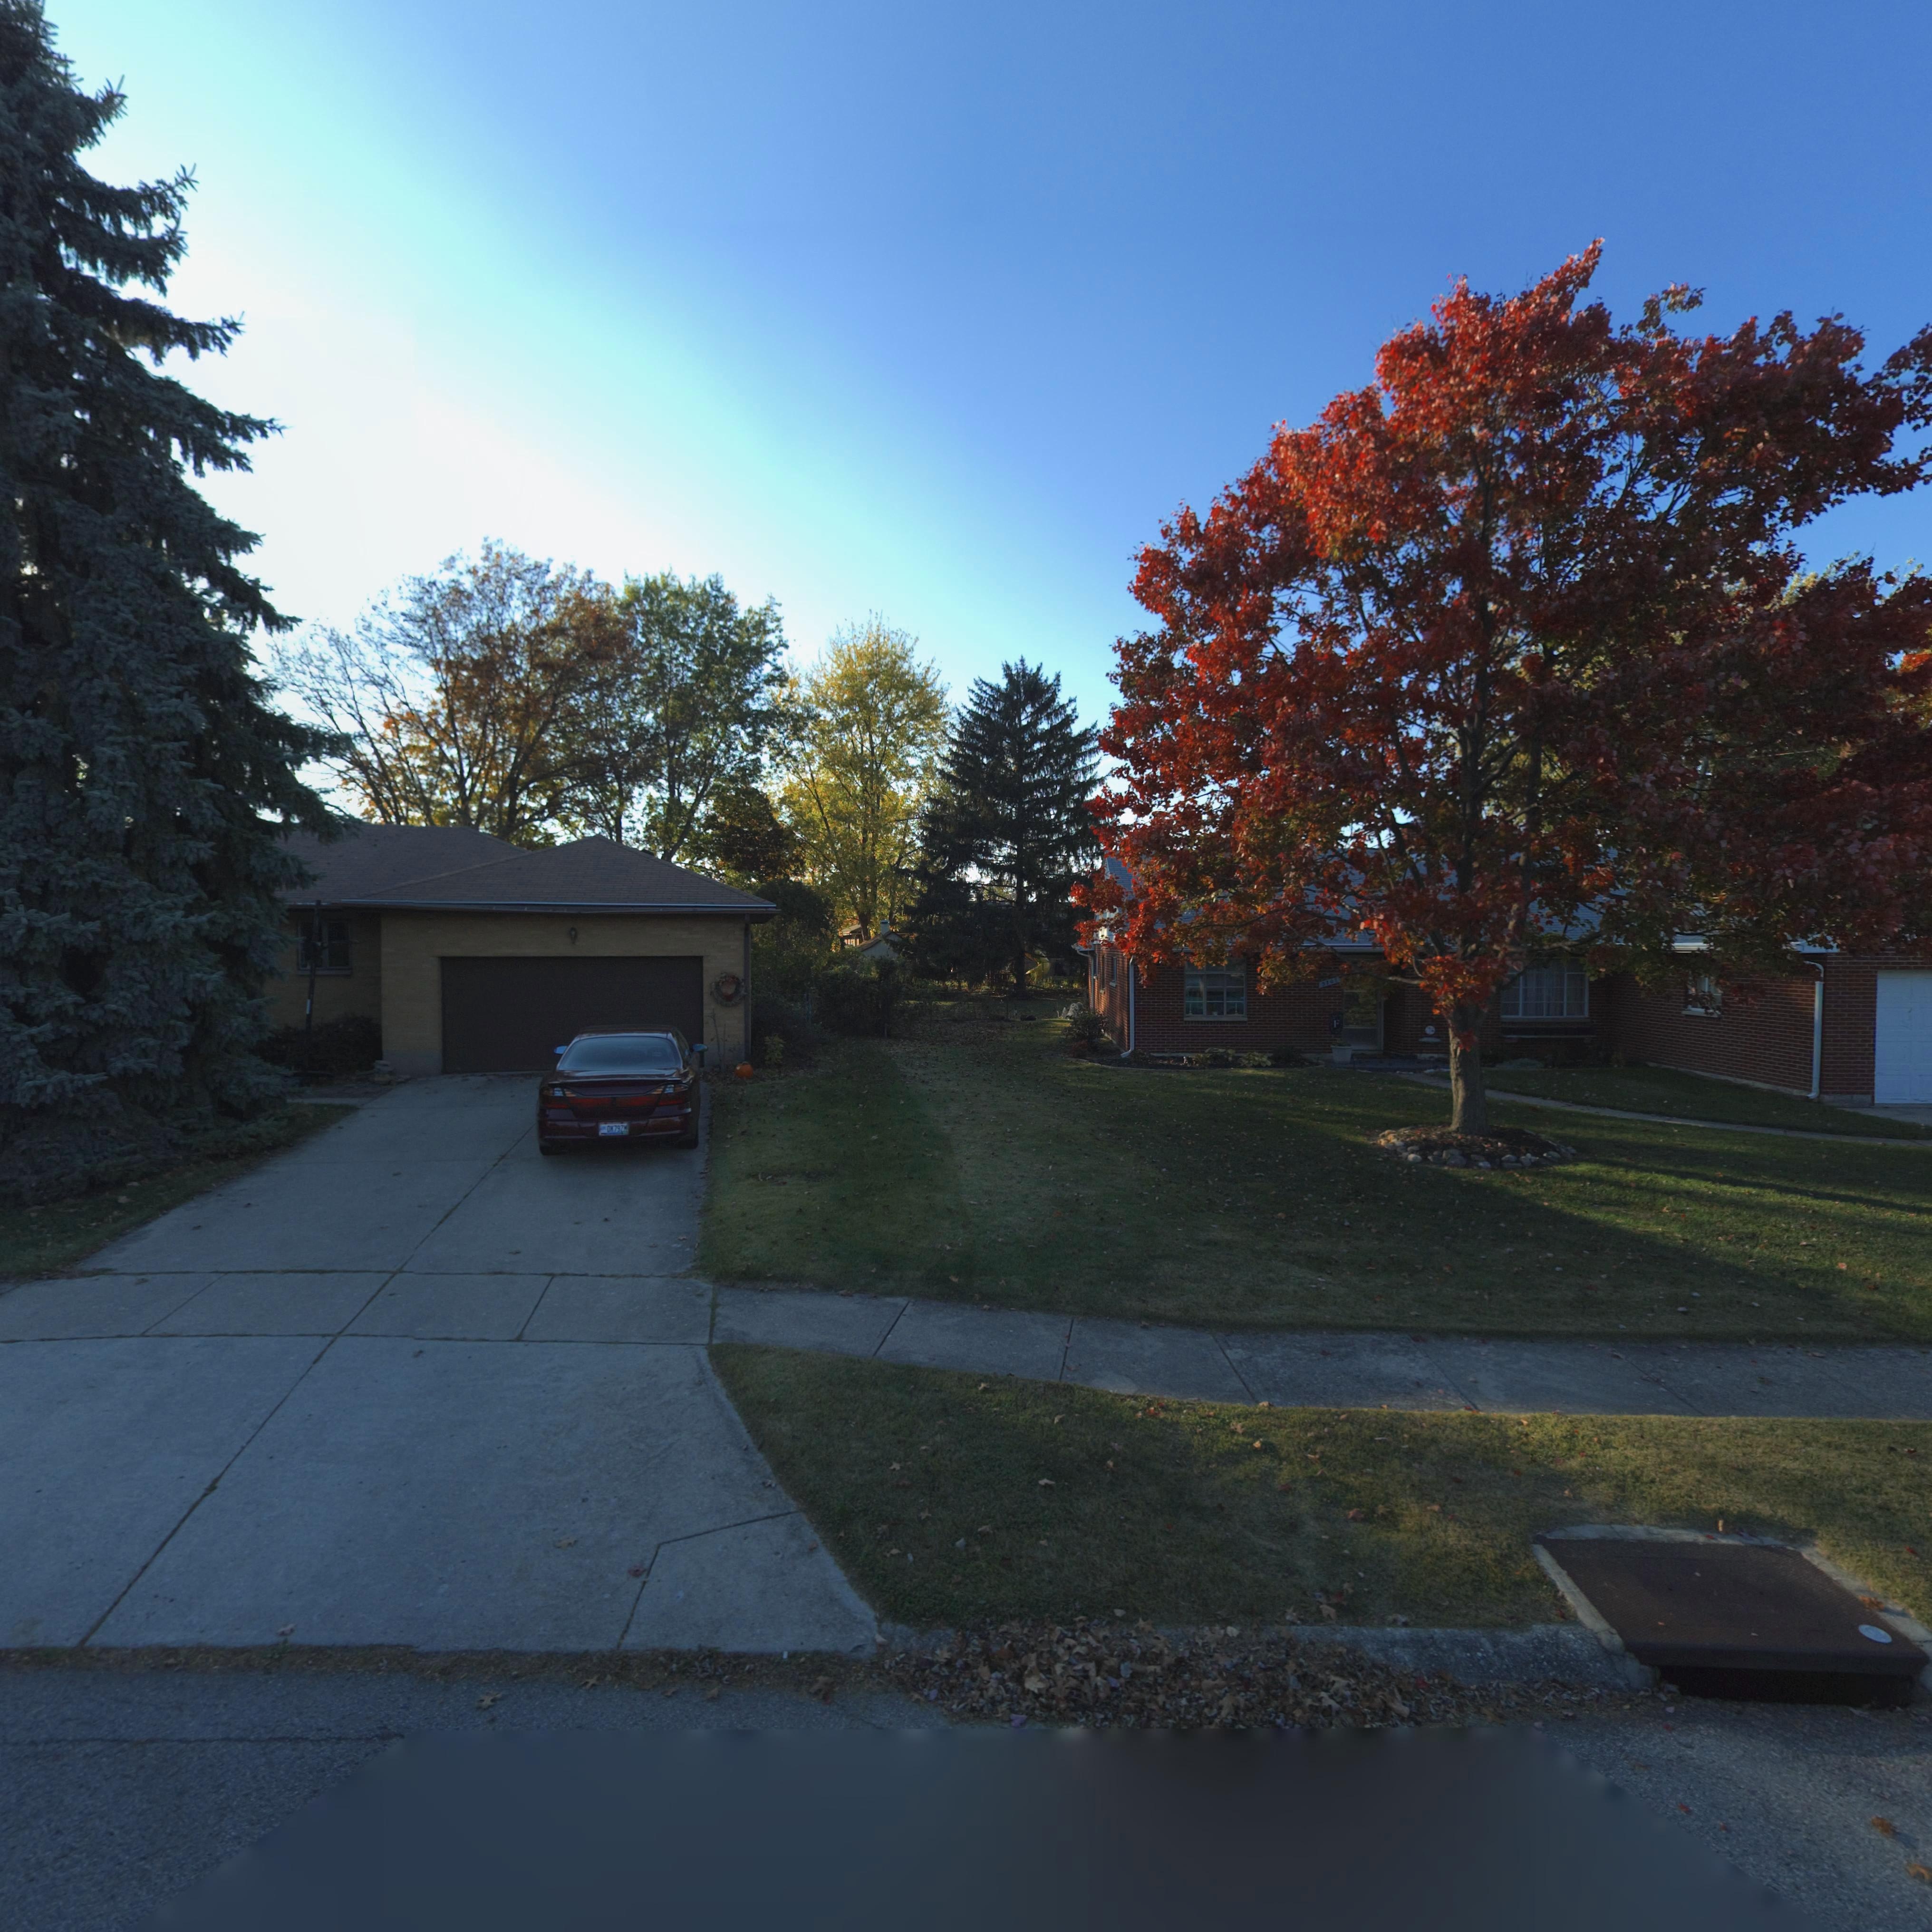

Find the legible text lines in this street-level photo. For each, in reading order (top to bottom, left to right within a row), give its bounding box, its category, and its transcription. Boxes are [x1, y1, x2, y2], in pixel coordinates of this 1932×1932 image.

[1320, 976, 1339, 989] StreetNumber: 3101